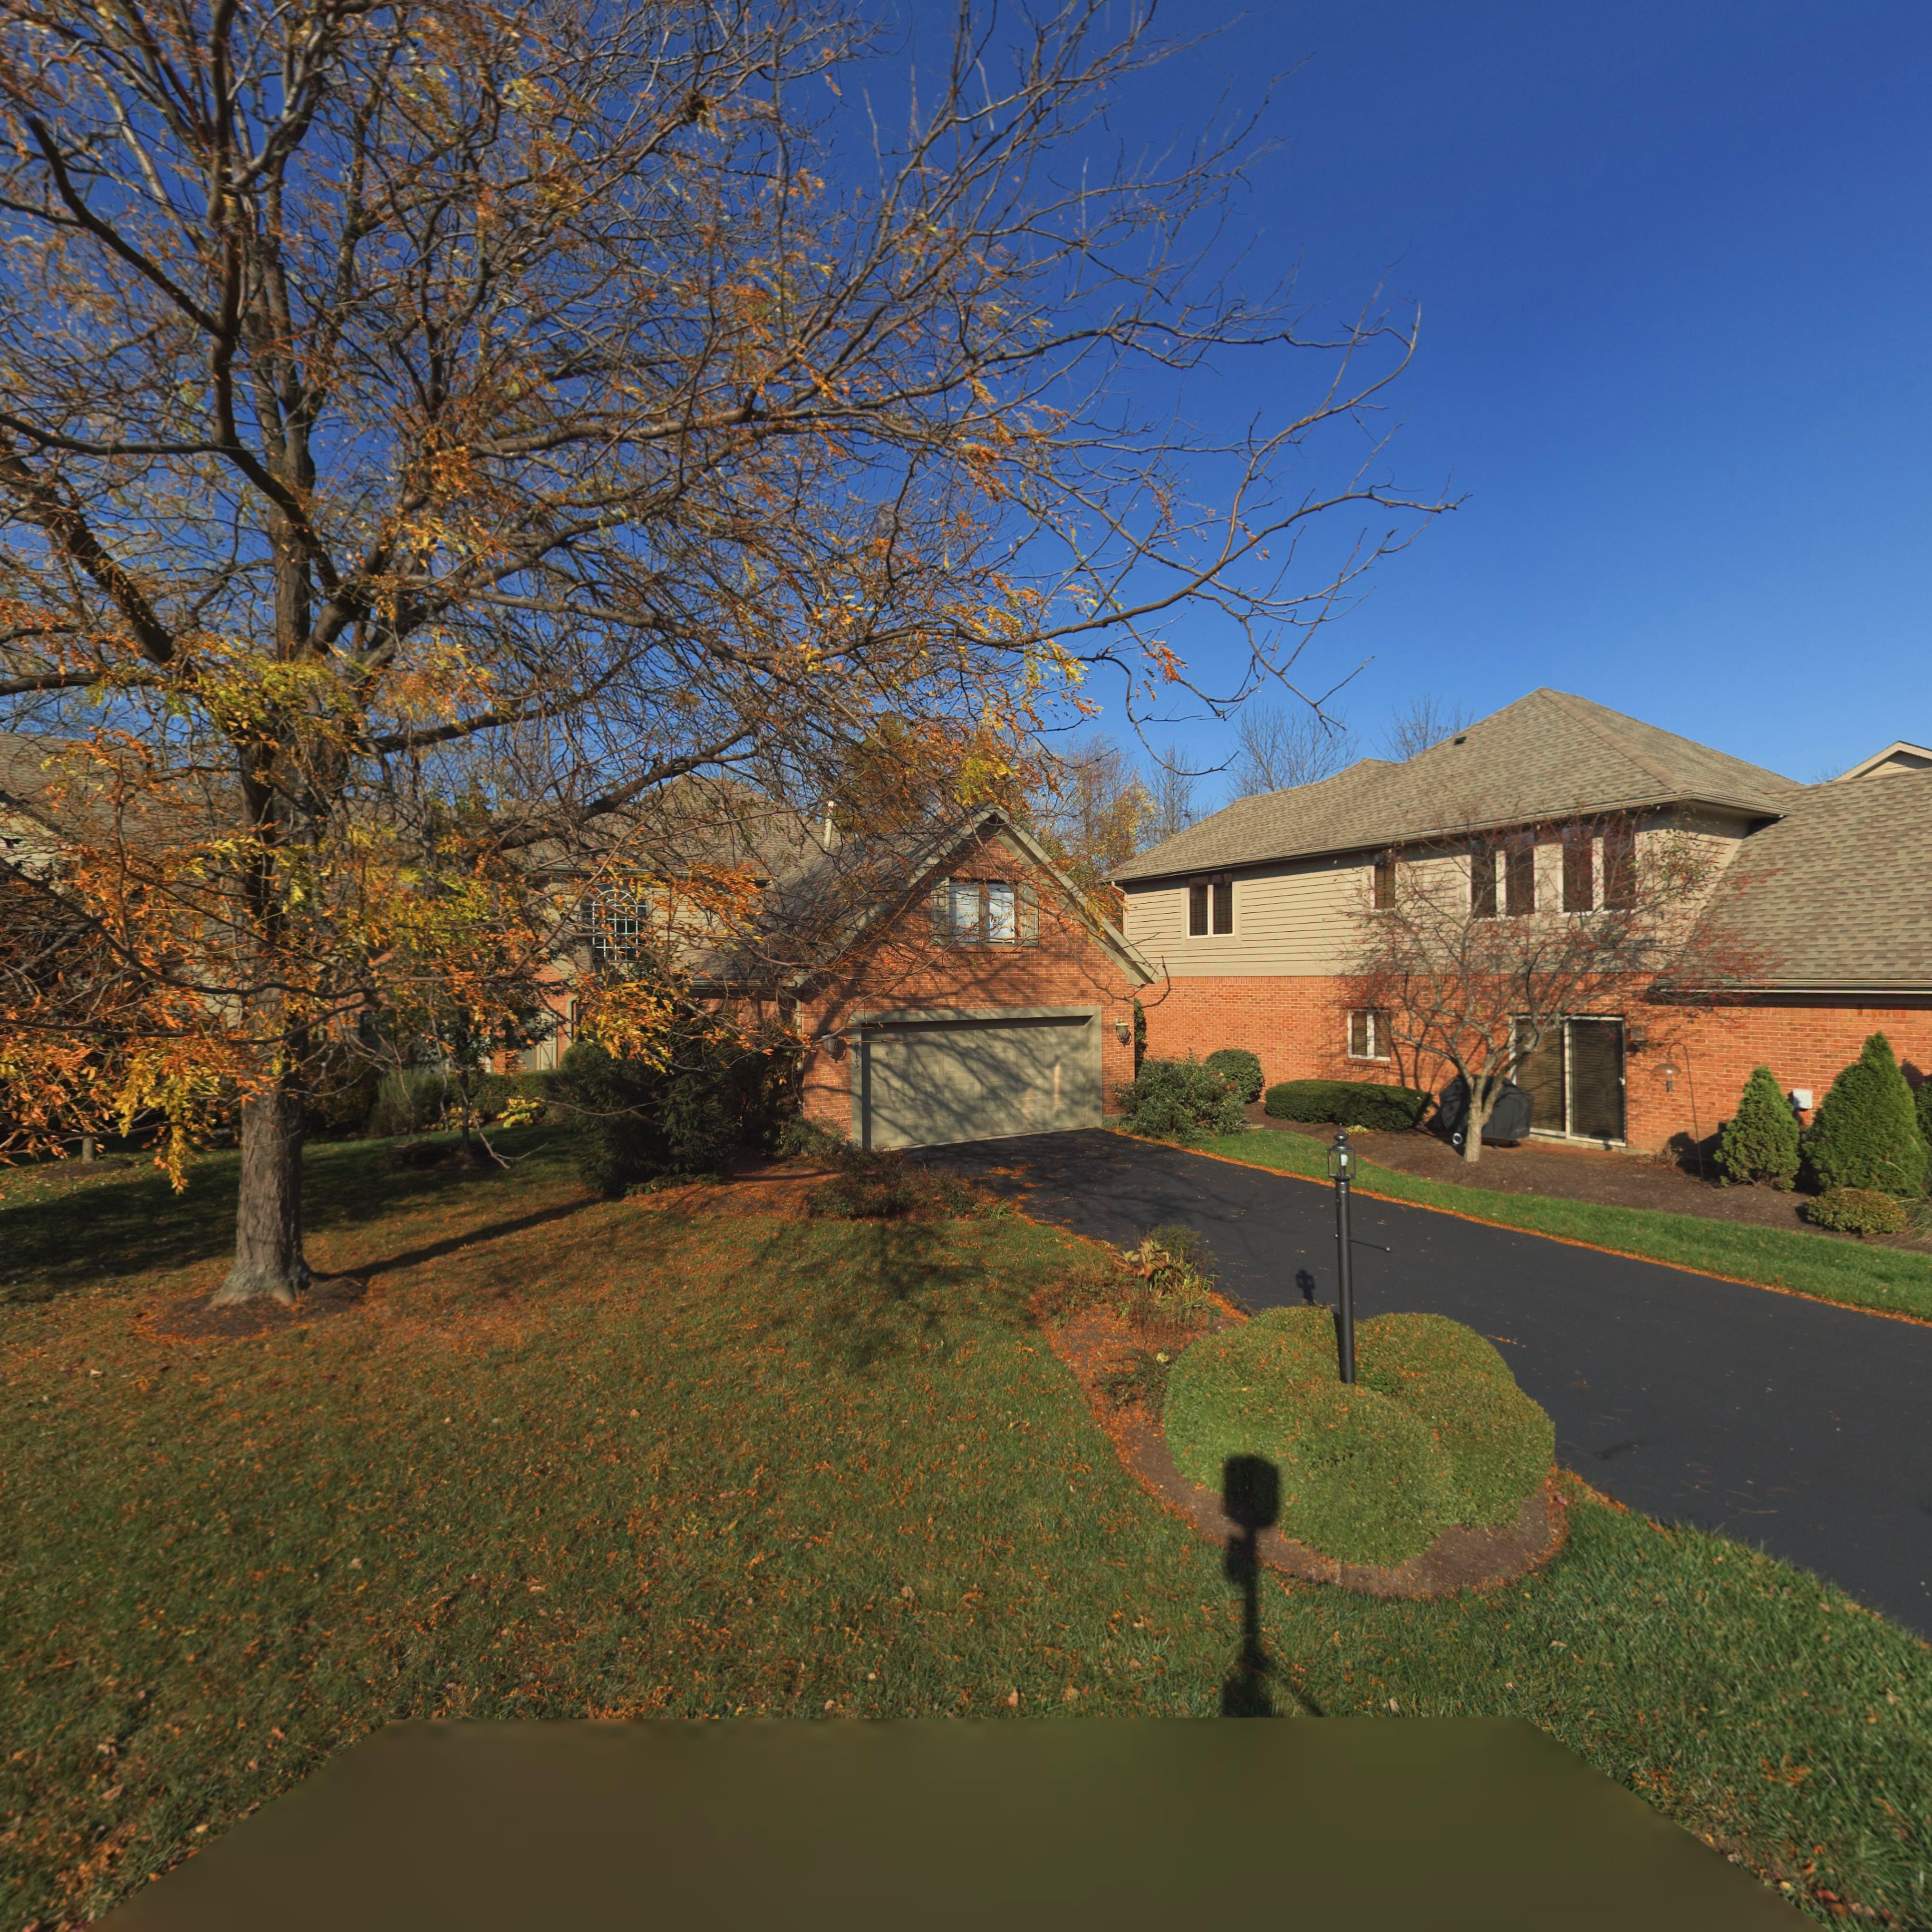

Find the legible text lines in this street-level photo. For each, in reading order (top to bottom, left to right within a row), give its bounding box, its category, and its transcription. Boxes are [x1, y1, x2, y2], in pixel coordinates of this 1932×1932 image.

[853, 1041, 860, 1070] StreetNumber: 813